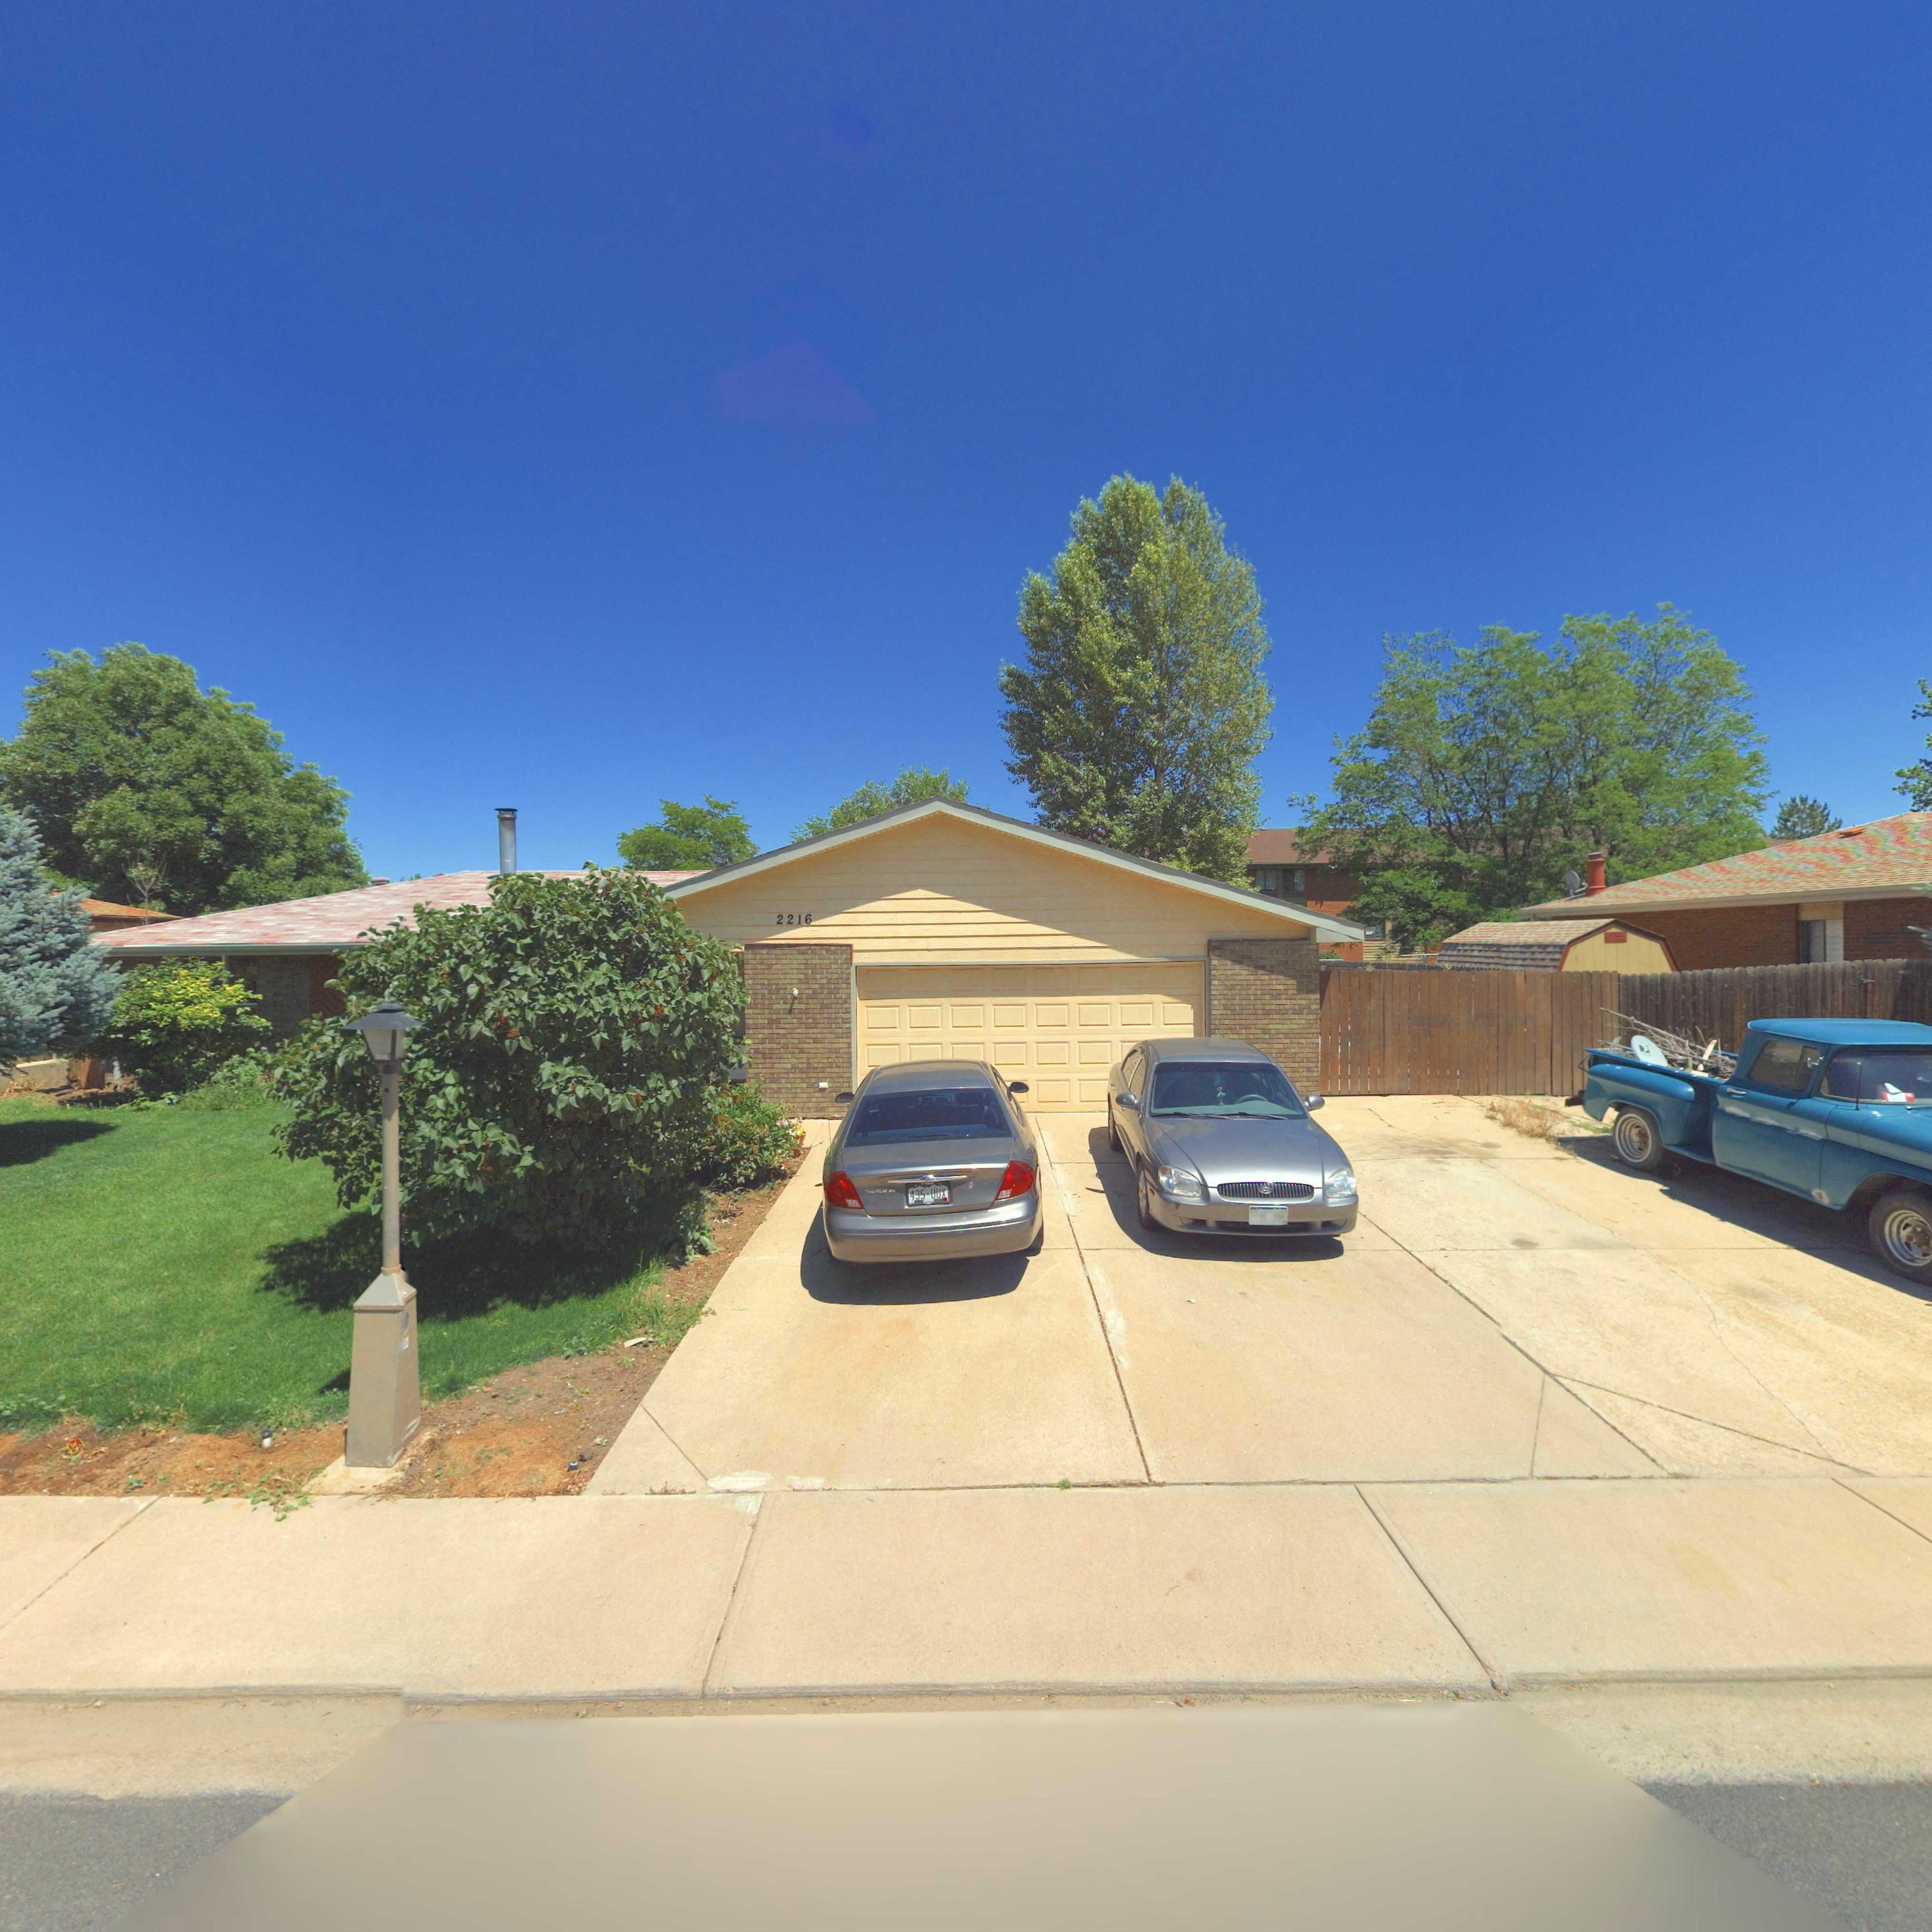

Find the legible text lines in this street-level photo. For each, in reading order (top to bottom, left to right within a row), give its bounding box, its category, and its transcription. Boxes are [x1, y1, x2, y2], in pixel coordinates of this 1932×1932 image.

[773, 911, 815, 925] StreetNumber: 2216